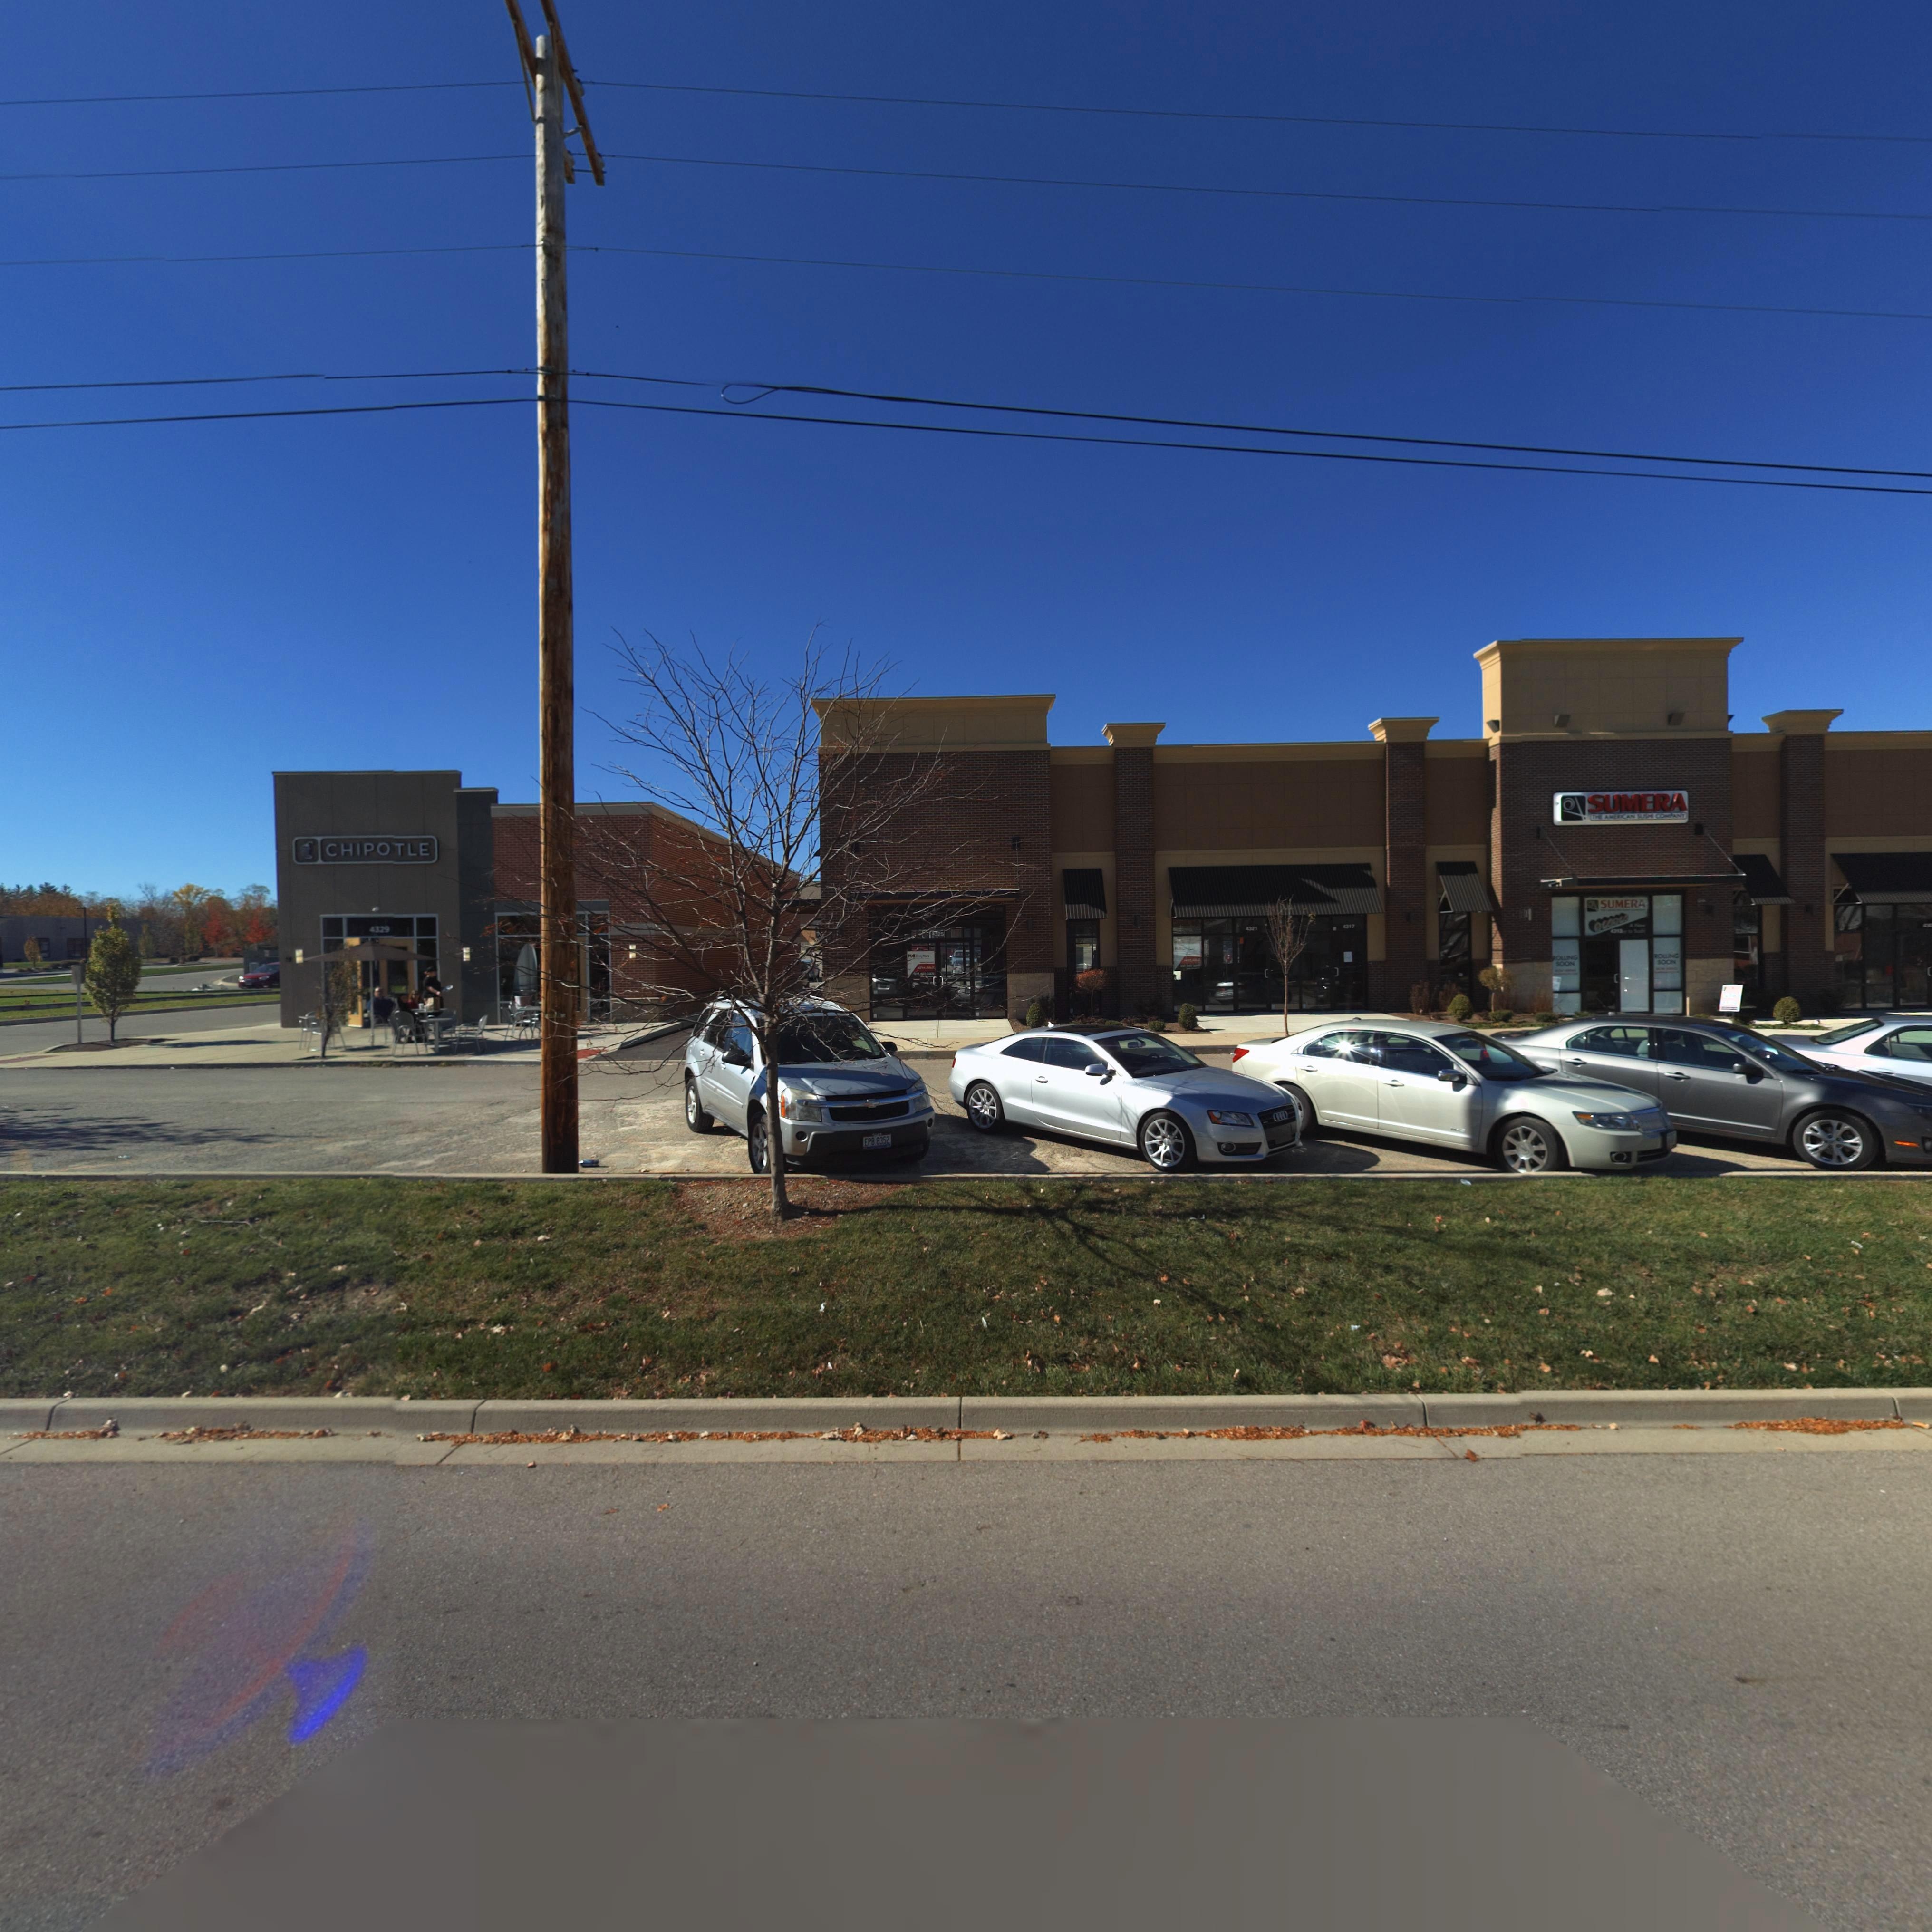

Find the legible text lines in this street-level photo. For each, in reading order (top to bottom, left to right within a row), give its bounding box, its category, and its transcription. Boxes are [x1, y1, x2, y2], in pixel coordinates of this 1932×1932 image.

[1586, 792, 1689, 814] BusinessName: SUMERA
[1591, 812, 1686, 821] BusinessName: THE AMERICAN SUSHI COMPANY
[324, 841, 431, 858] BusinessName: CHIPOTLE
[1600, 899, 1647, 909] BusinessName: SUMERA
[367, 925, 390, 934] StreetNumber: 4329
[1245, 926, 1257, 931] StreetNumber: 4321
[1342, 924, 1356, 929] StreetNumber: 4317
[935, 931, 945, 937] StreetNumber: 325
[1555, 955, 1579, 961] None: OLLING
[1653, 953, 1680, 959] None: ROLLING
[1555, 961, 1575, 967] None: SOON
[1656, 959, 1677, 965] None: SOON
[864, 1135, 890, 1147] None: EPB*8352